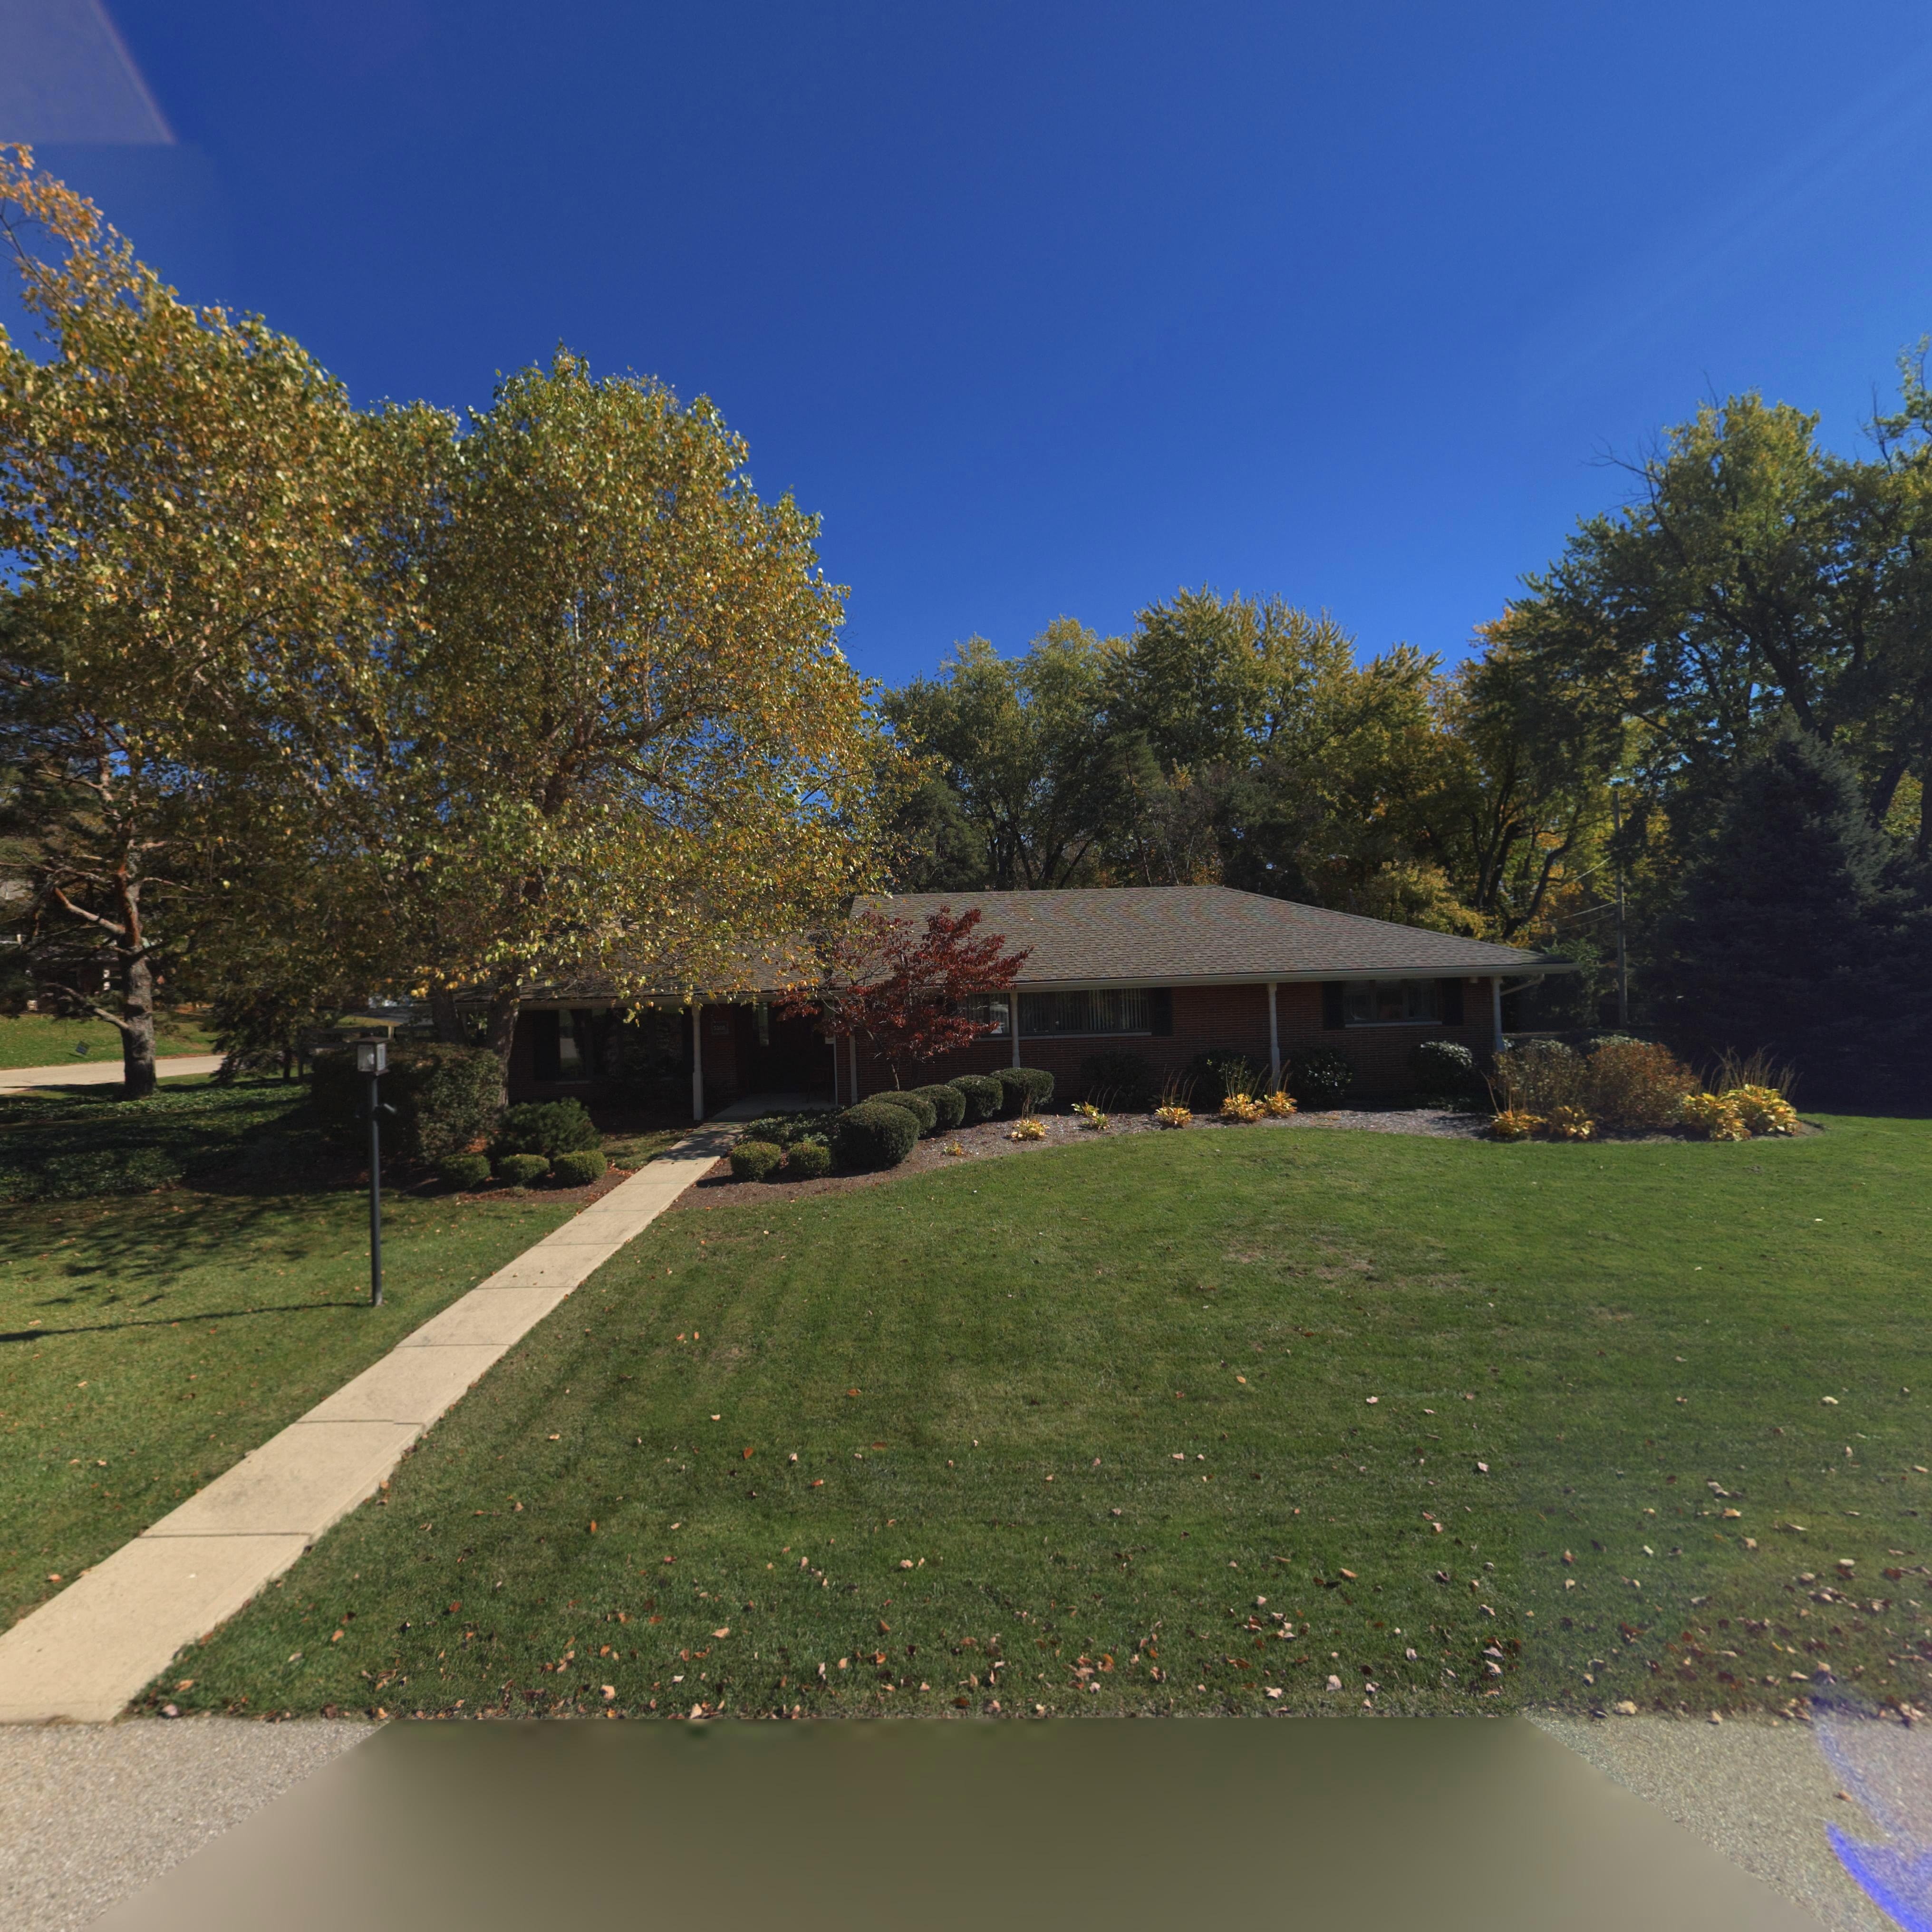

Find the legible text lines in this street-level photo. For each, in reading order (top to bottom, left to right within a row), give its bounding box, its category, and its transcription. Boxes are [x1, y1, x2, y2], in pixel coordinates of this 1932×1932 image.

[713, 1025, 726, 1031] StreetNumber: 5208